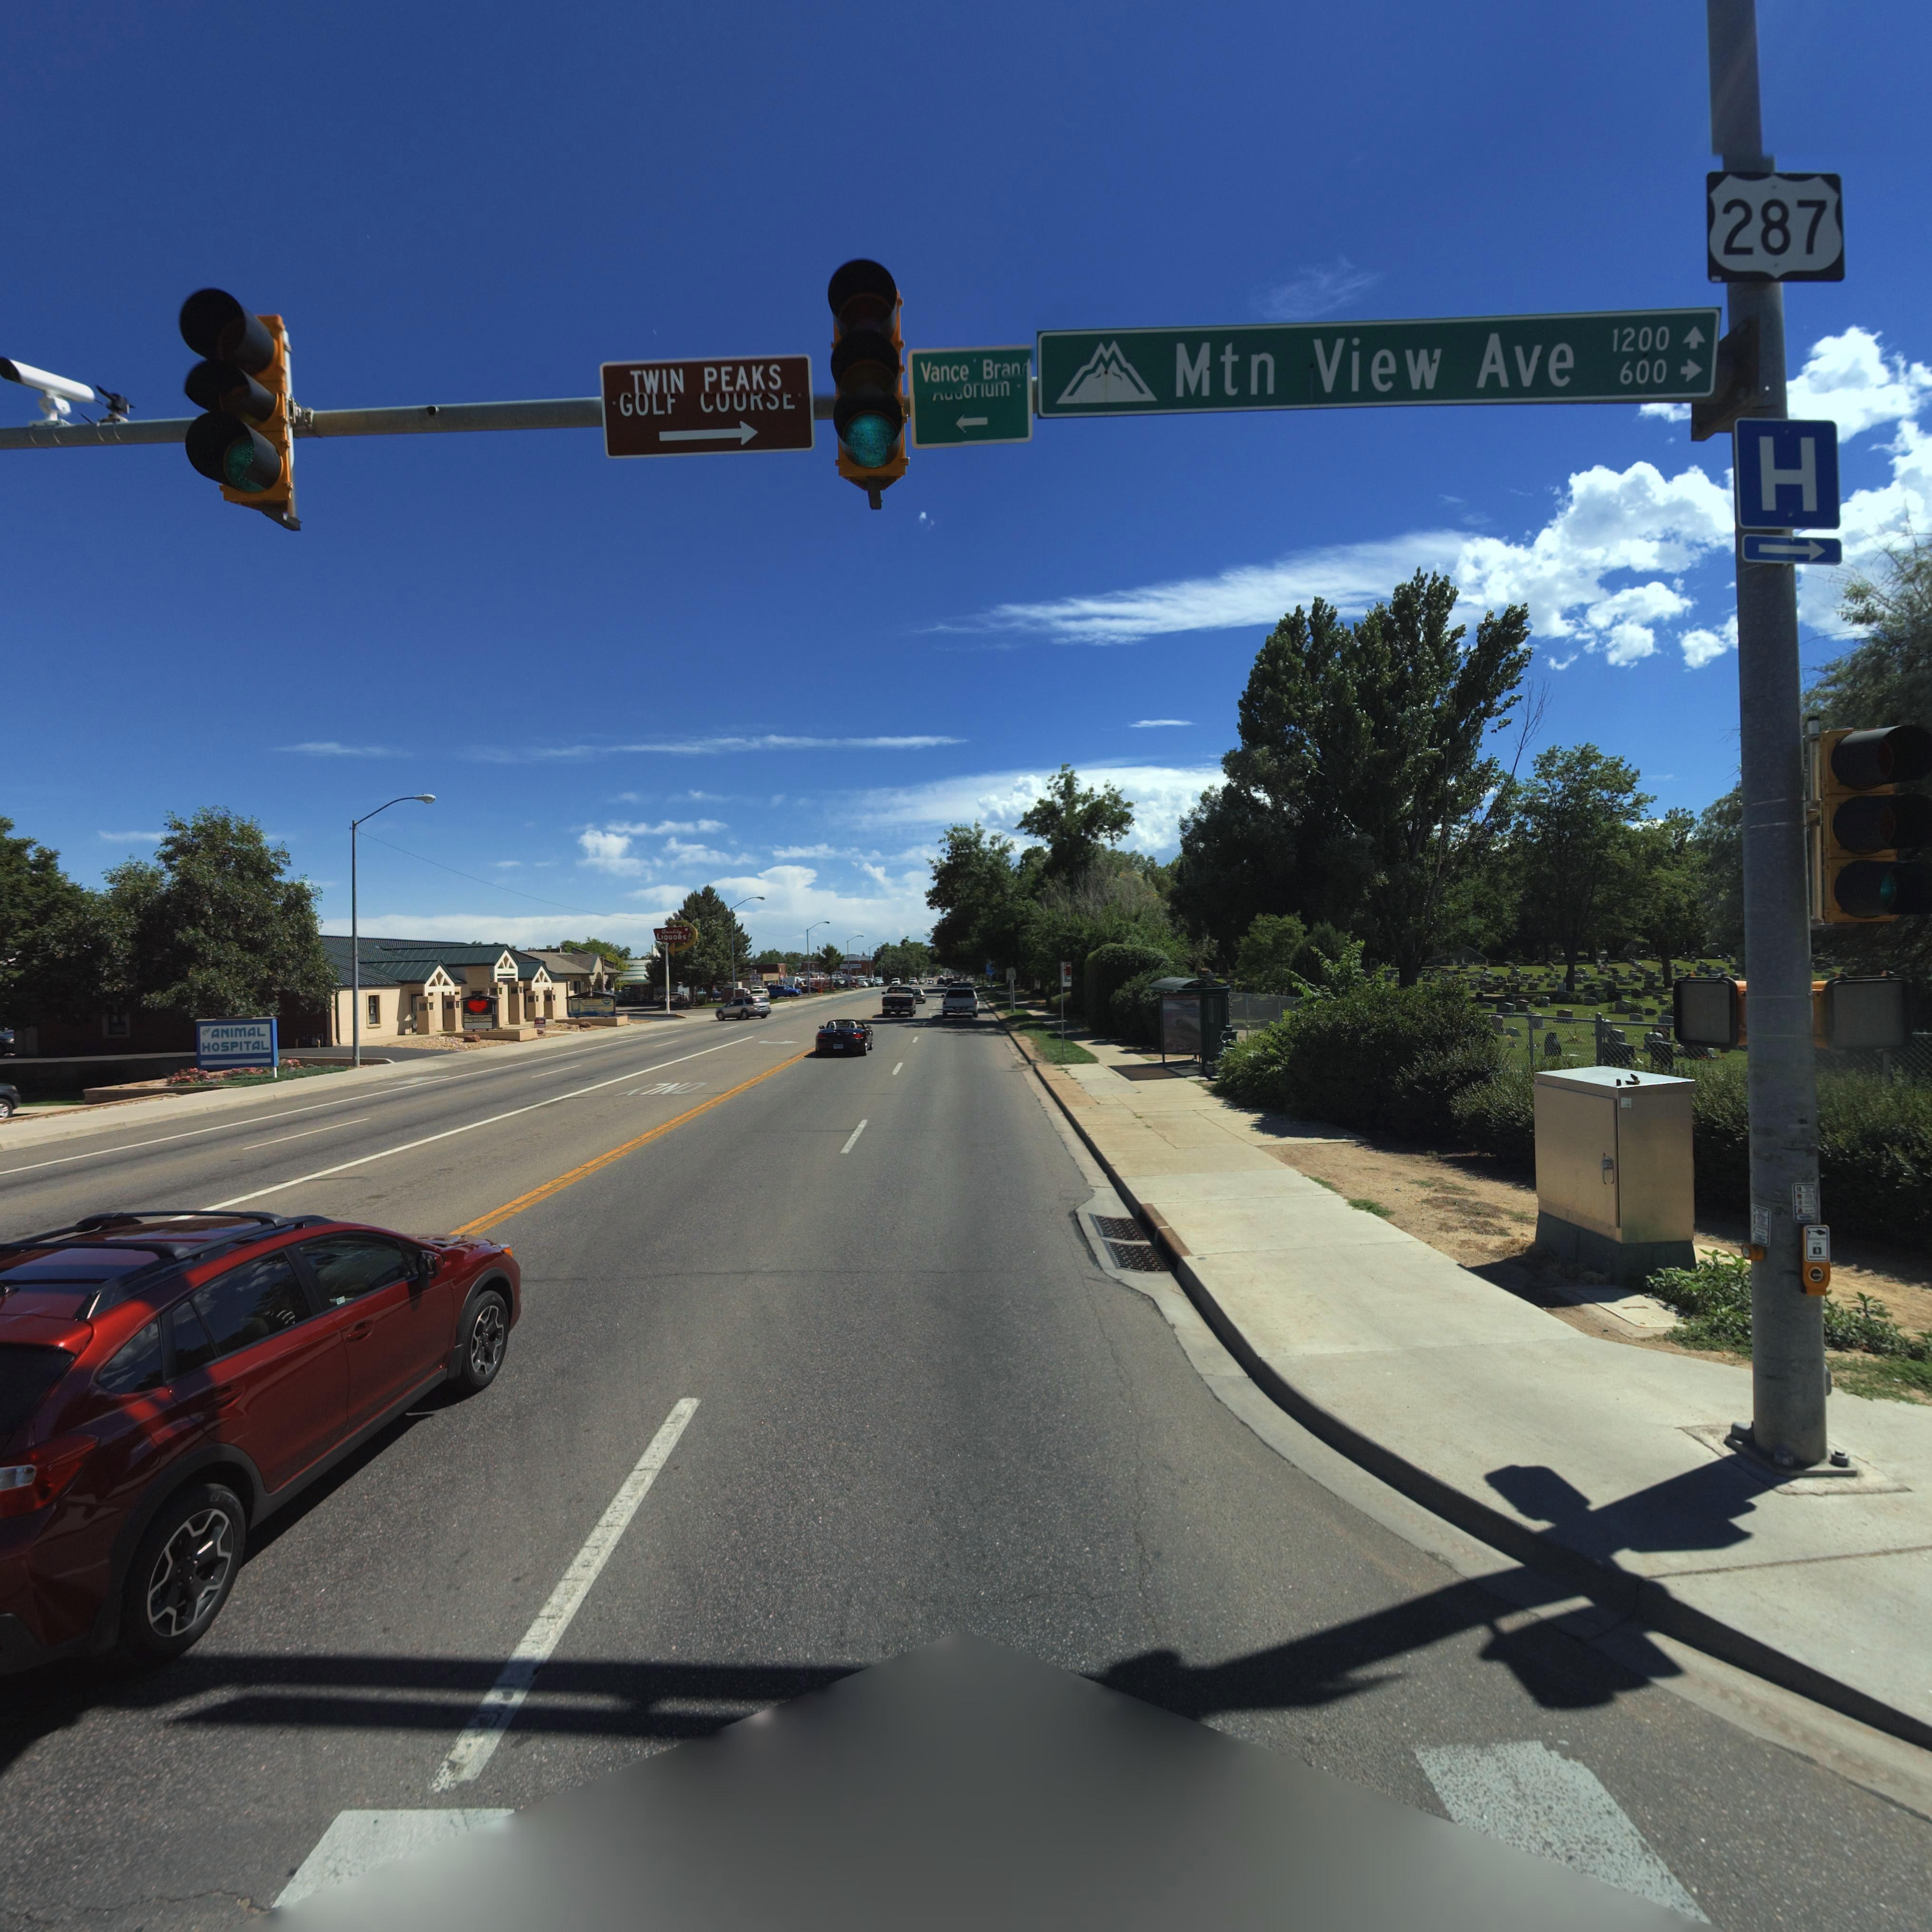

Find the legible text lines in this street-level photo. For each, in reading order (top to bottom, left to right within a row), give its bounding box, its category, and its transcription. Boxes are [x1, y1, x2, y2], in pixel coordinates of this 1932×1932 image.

[1610, 325, 1671, 353] StreetNumberRange: 1200
[1173, 331, 1577, 398] StreetName: Mtn View Ave
[1617, 357, 1706, 386] StreetNumberRange: 600->
[661, 928, 682, 935] BusinessName: Q****ty
[657, 932, 687, 941] BusinessName: LIQUORS